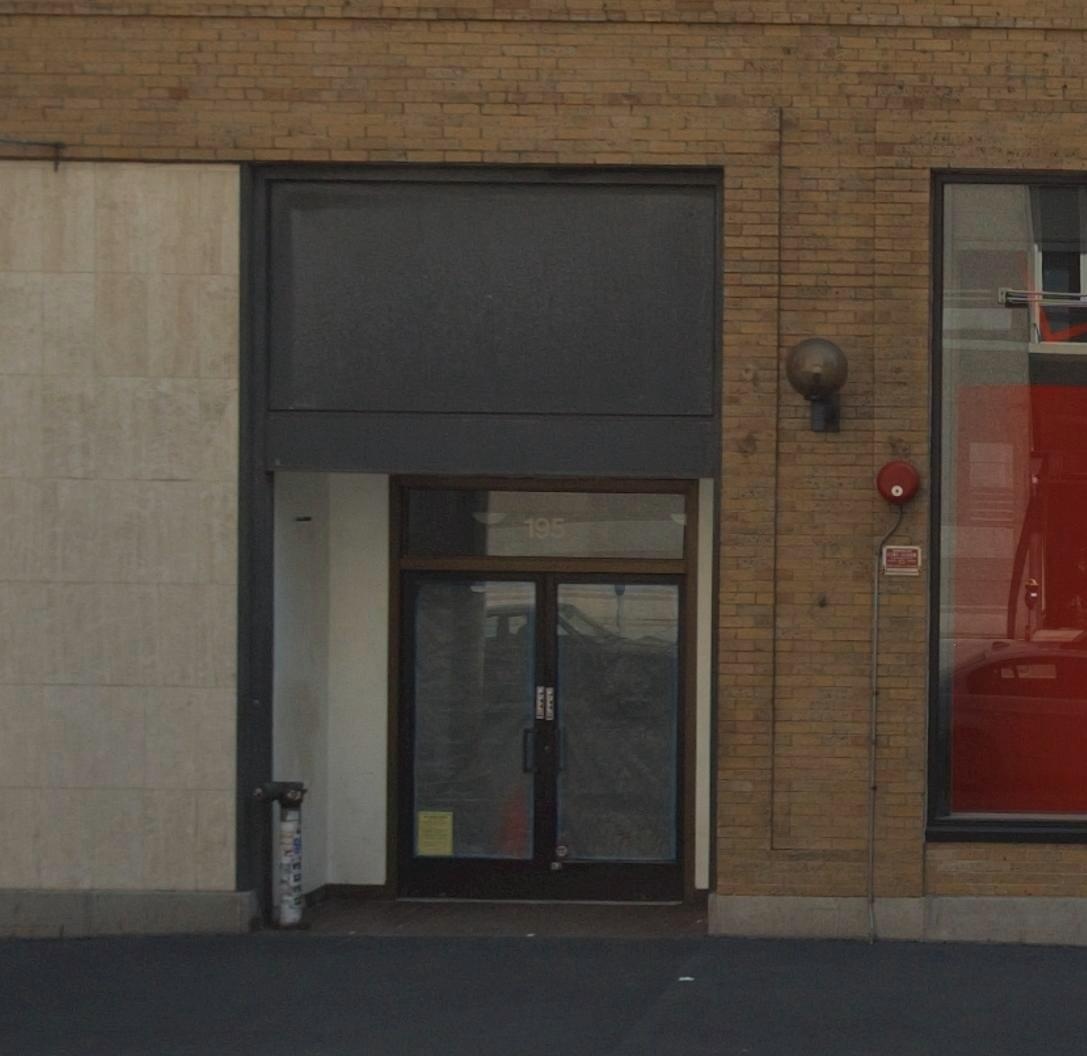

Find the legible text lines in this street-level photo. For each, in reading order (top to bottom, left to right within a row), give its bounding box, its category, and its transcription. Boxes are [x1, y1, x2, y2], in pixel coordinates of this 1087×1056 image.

[523, 514, 568, 542] StreetNumber: 195